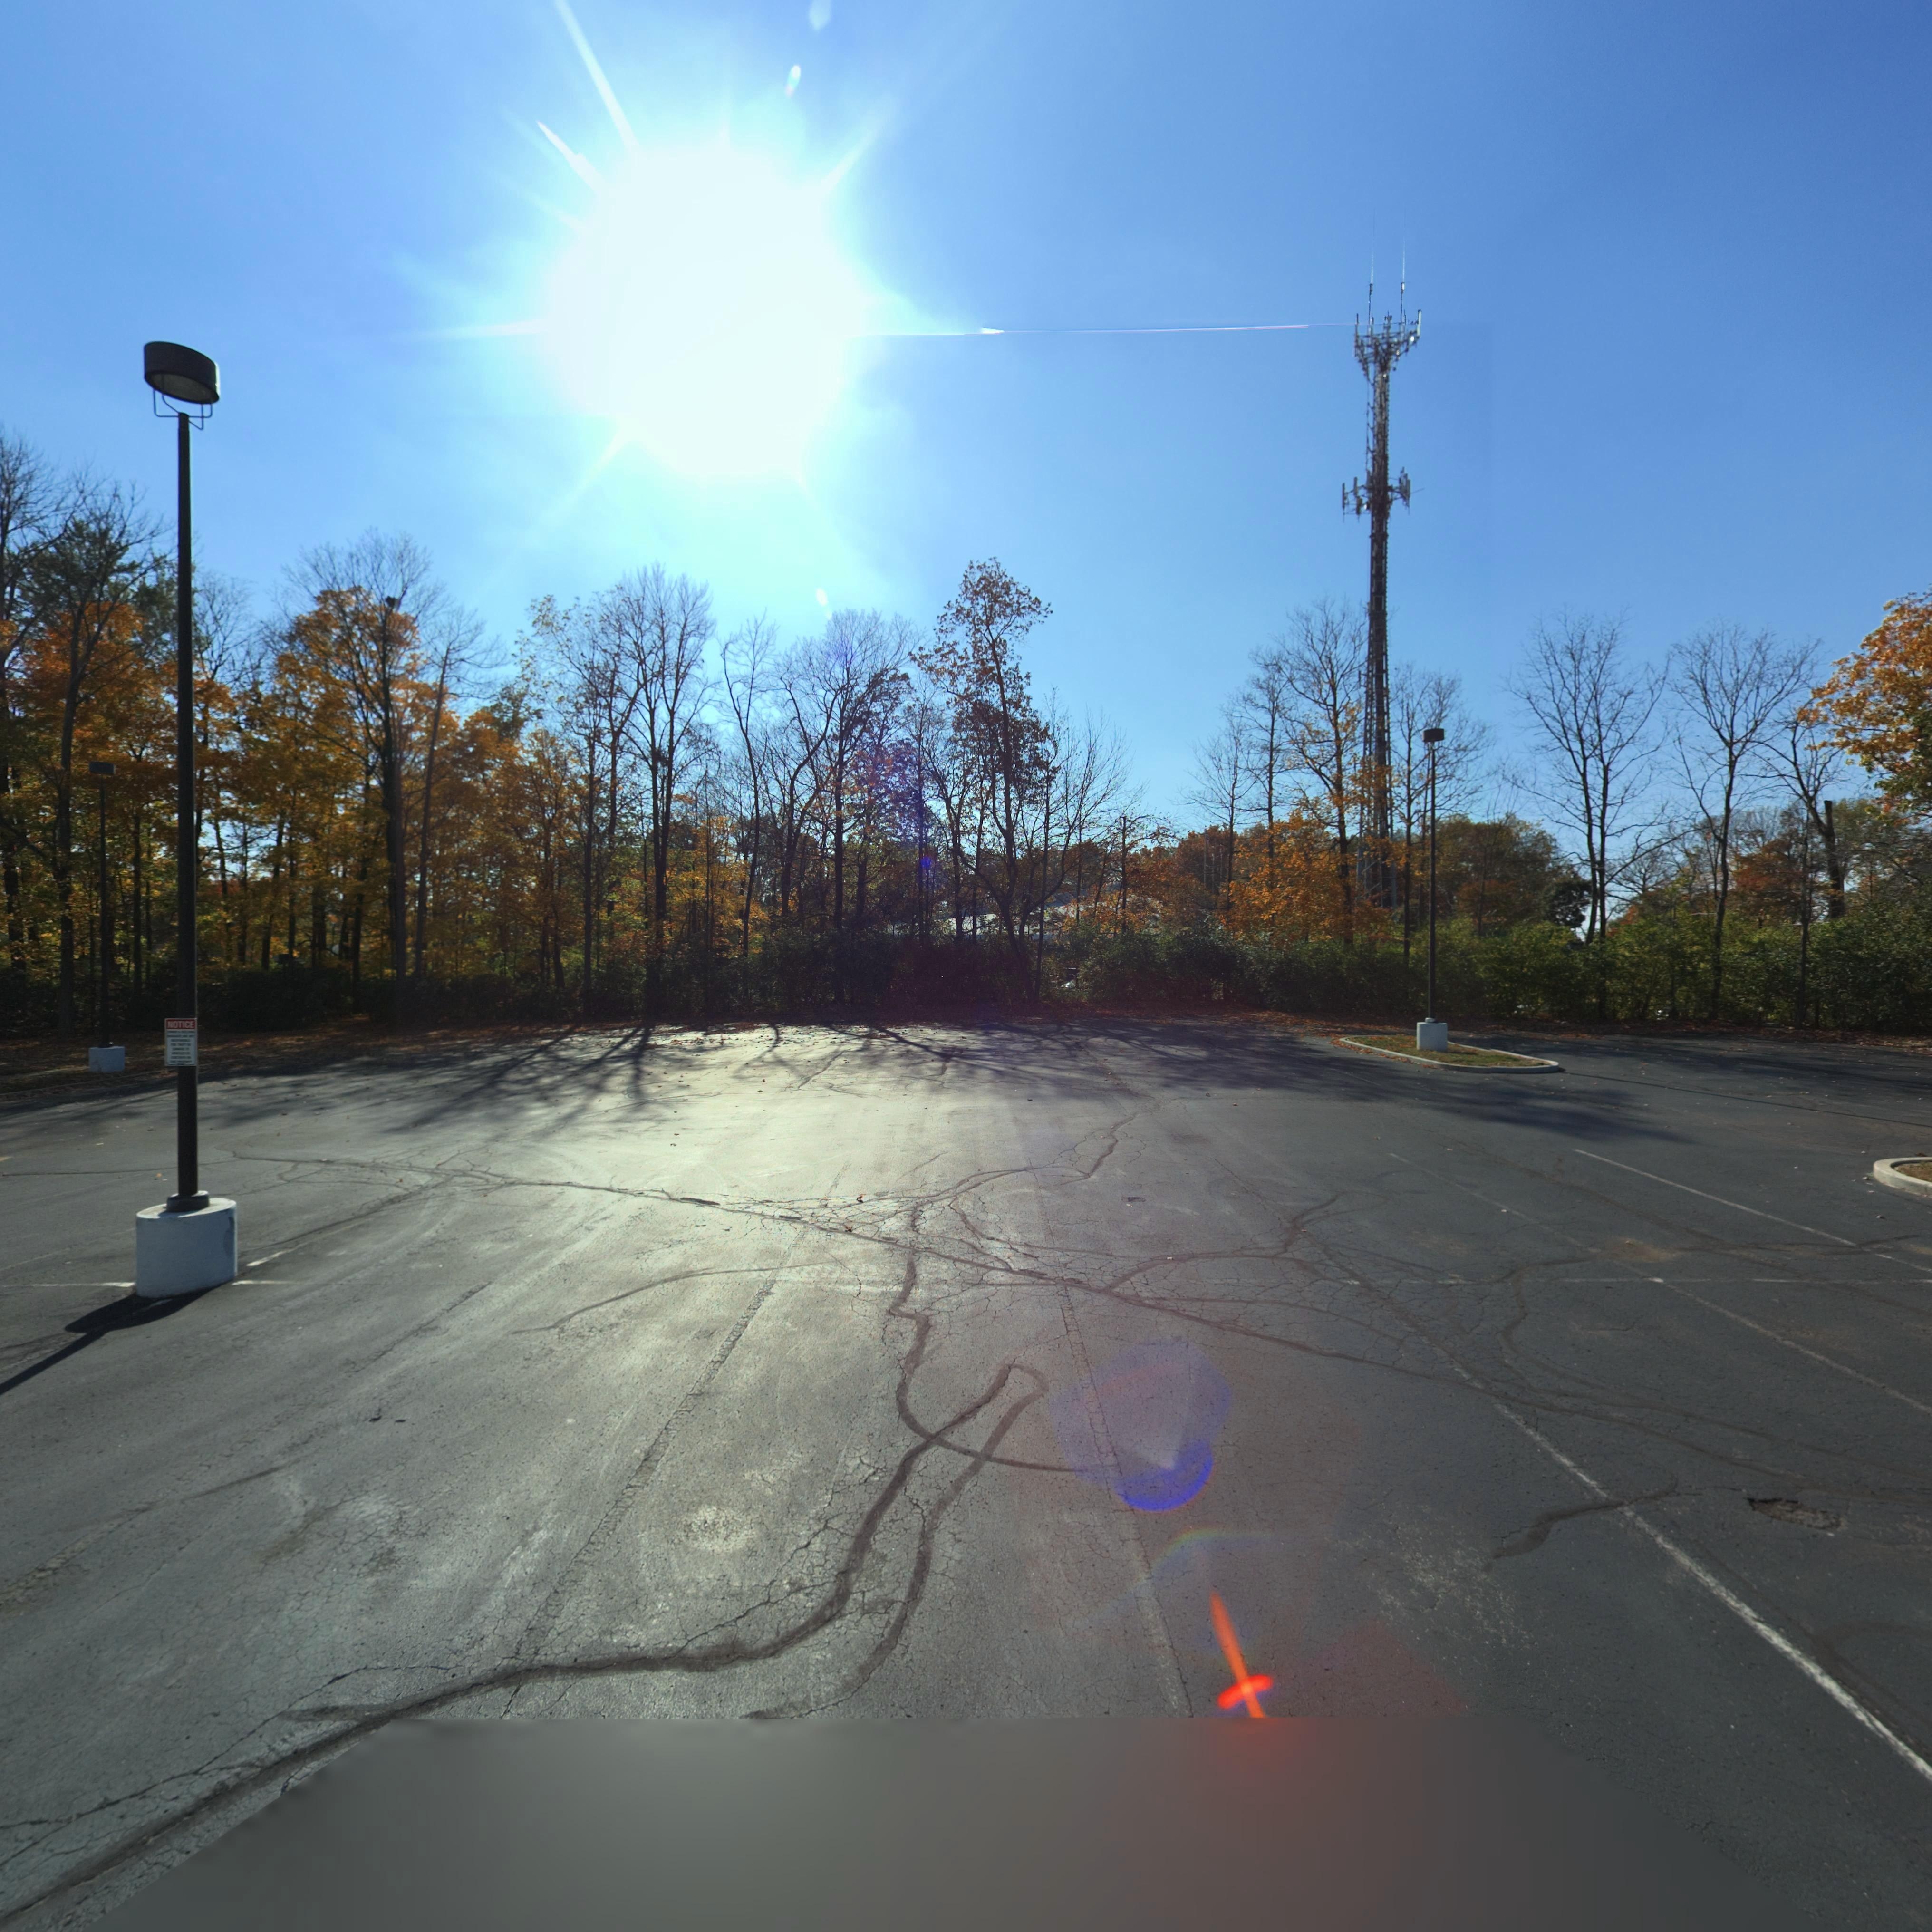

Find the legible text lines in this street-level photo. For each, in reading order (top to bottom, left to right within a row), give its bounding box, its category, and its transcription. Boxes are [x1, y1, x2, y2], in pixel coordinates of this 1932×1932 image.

[167, 1020, 195, 1029] None: NOTICE